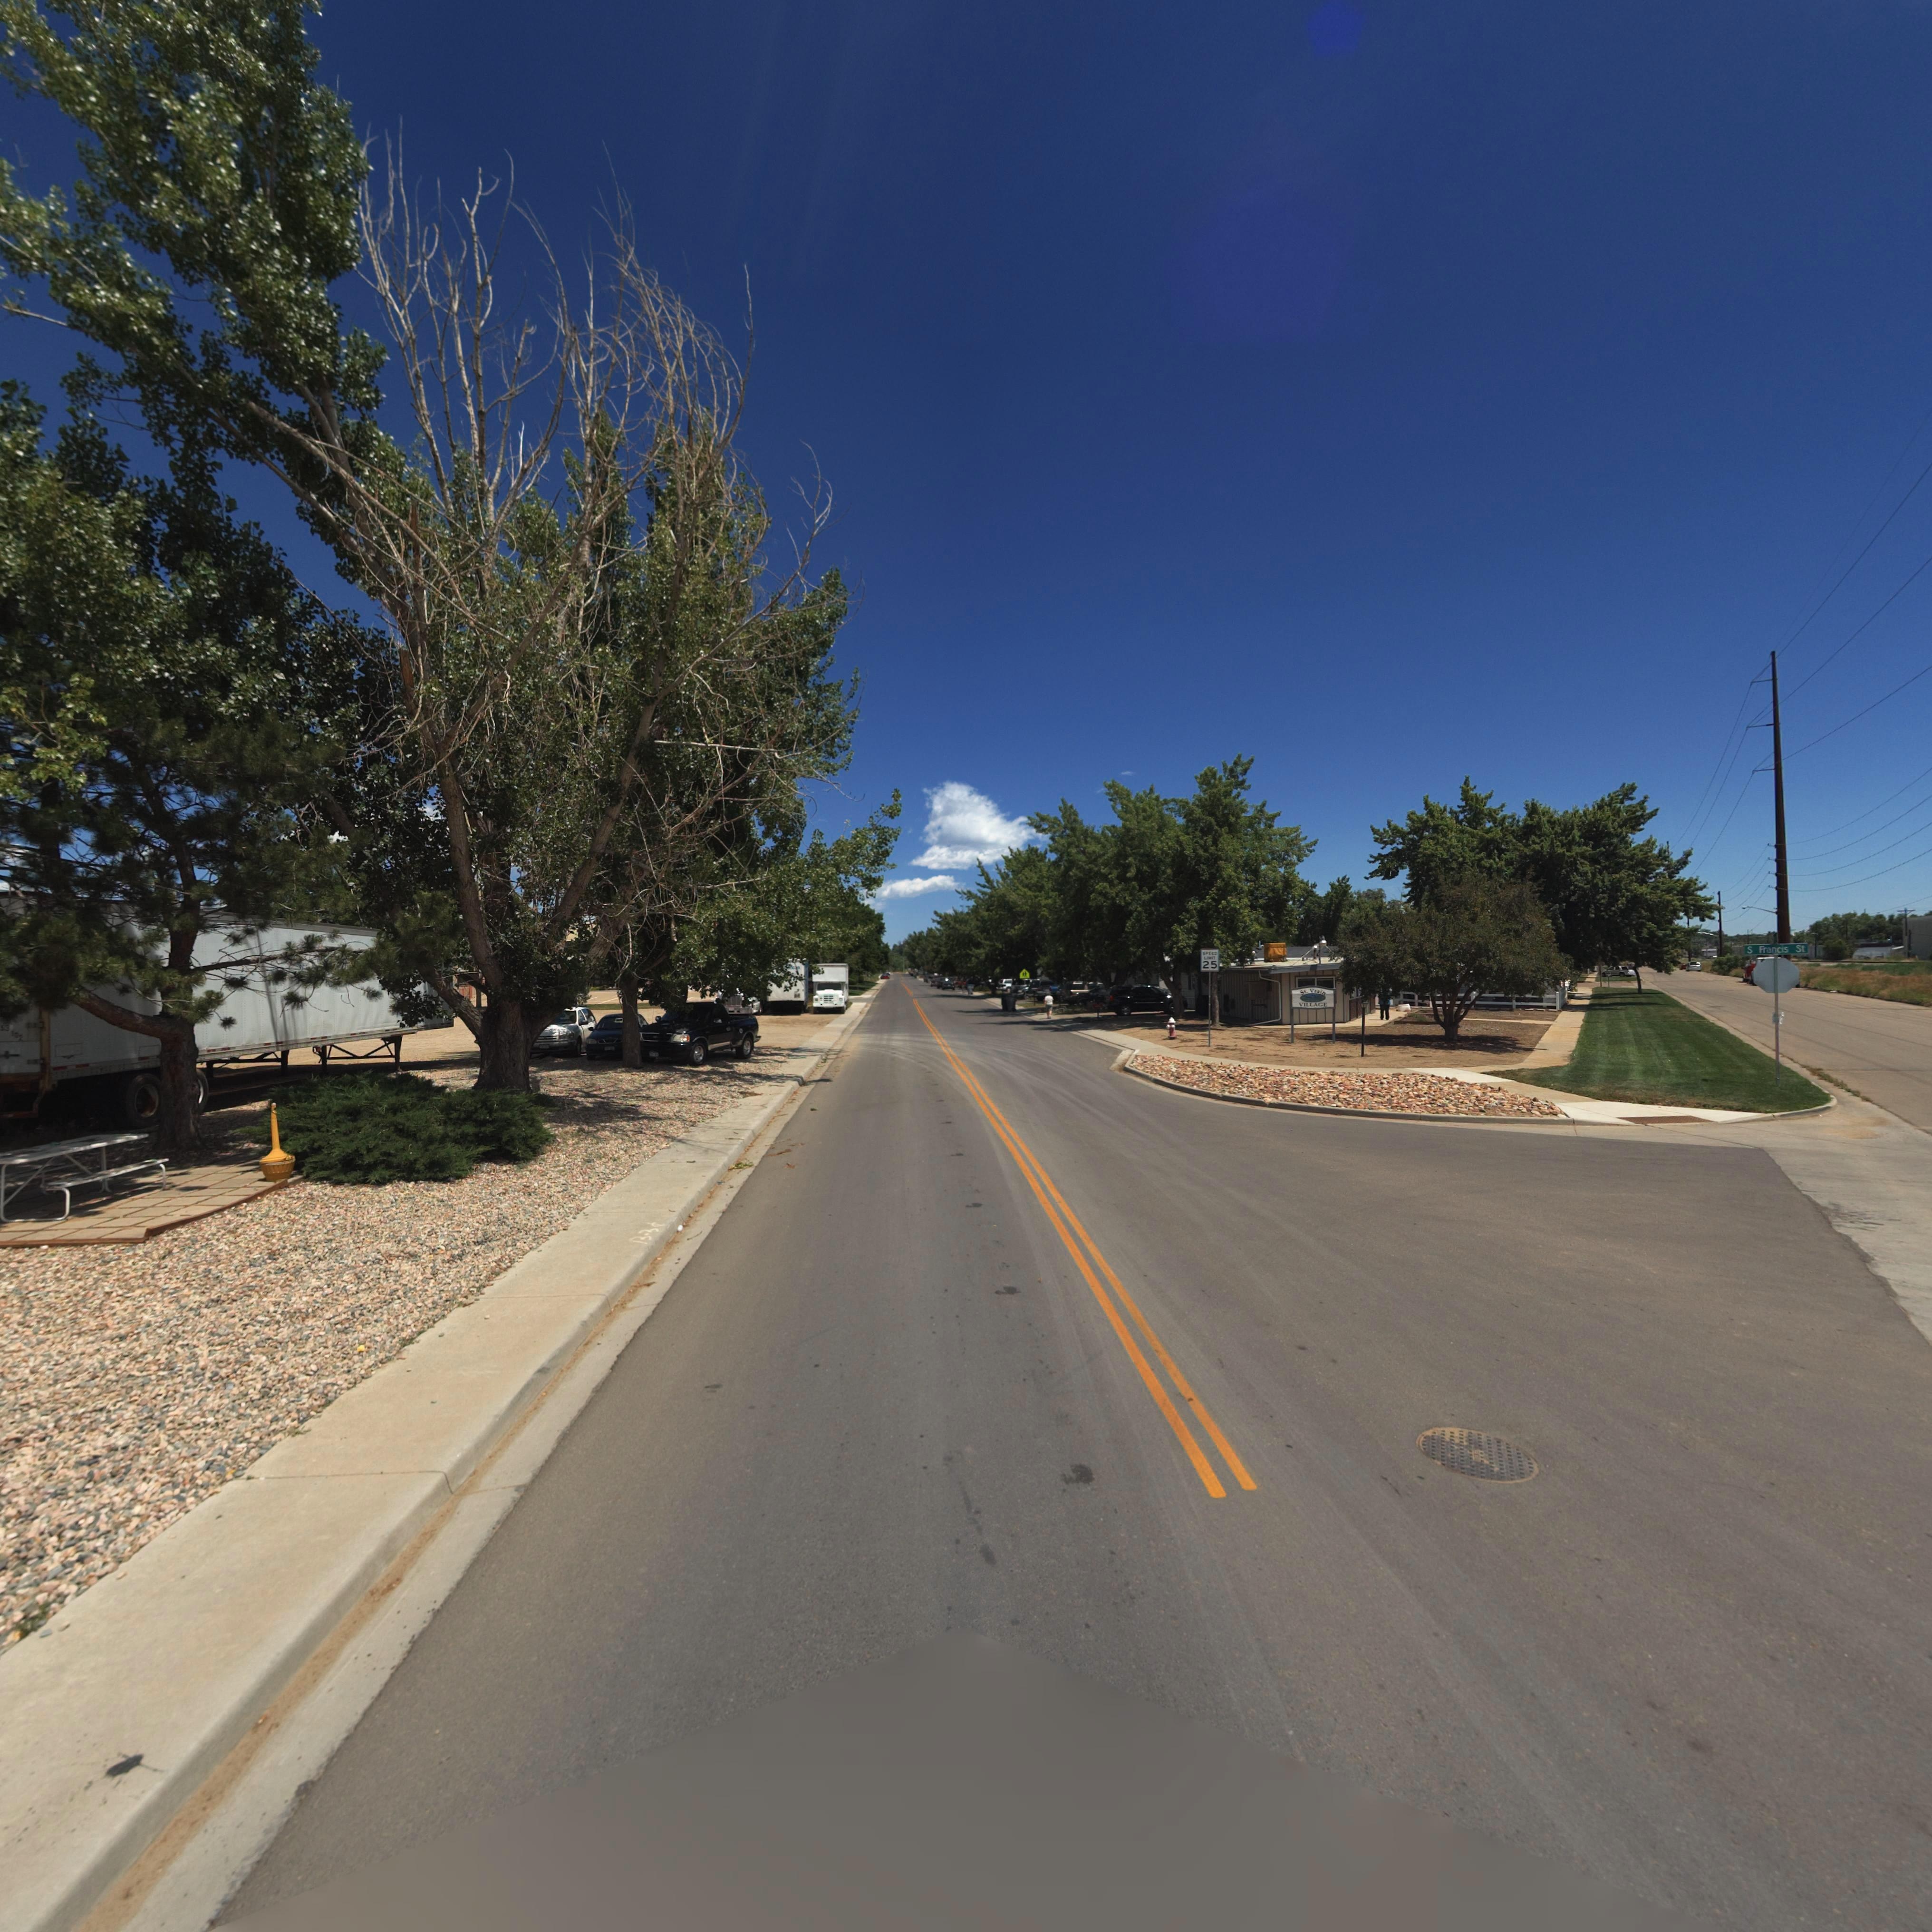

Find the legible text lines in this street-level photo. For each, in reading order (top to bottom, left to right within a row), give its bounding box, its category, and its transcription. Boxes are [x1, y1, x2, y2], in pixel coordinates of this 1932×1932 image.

[1746, 944, 1806, 954] StreetName: S Francis St